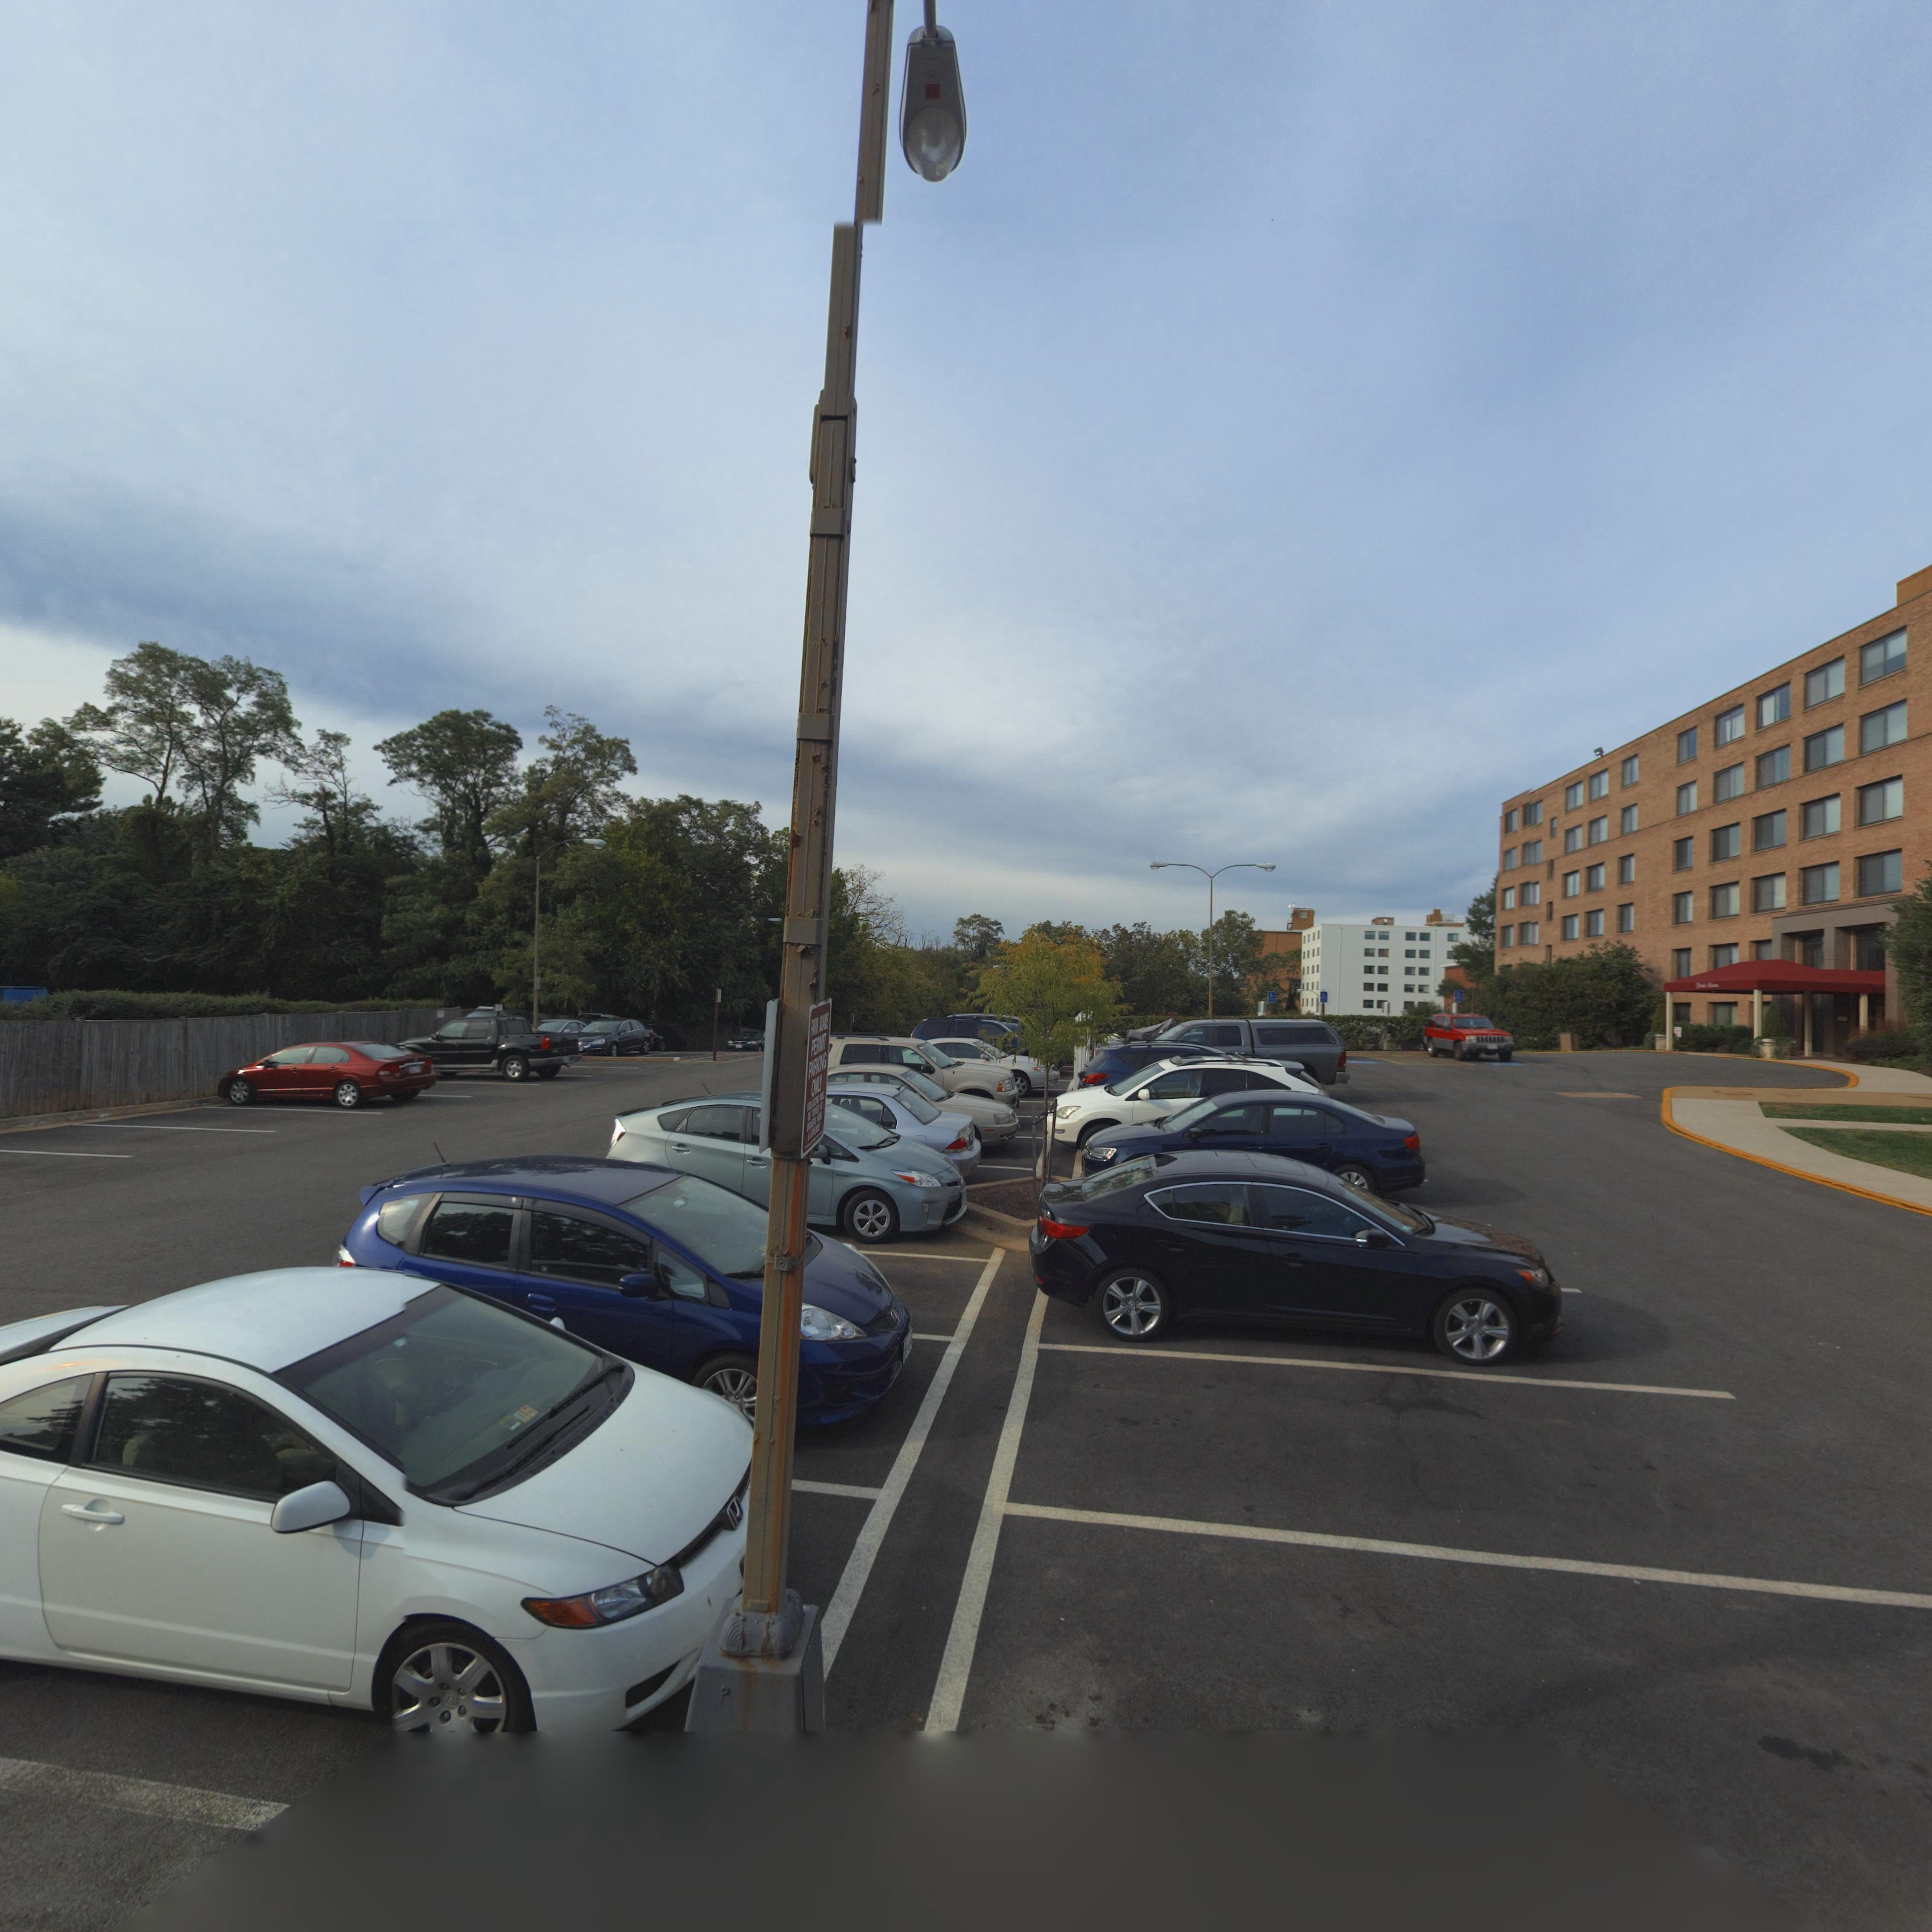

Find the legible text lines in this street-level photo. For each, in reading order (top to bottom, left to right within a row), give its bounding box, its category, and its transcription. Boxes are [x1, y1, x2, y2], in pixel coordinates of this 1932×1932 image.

[810, 1034, 822, 1060] None: PER
[806, 1050, 828, 1082] None: PARKING
[810, 1072, 824, 1101] None: ONLY